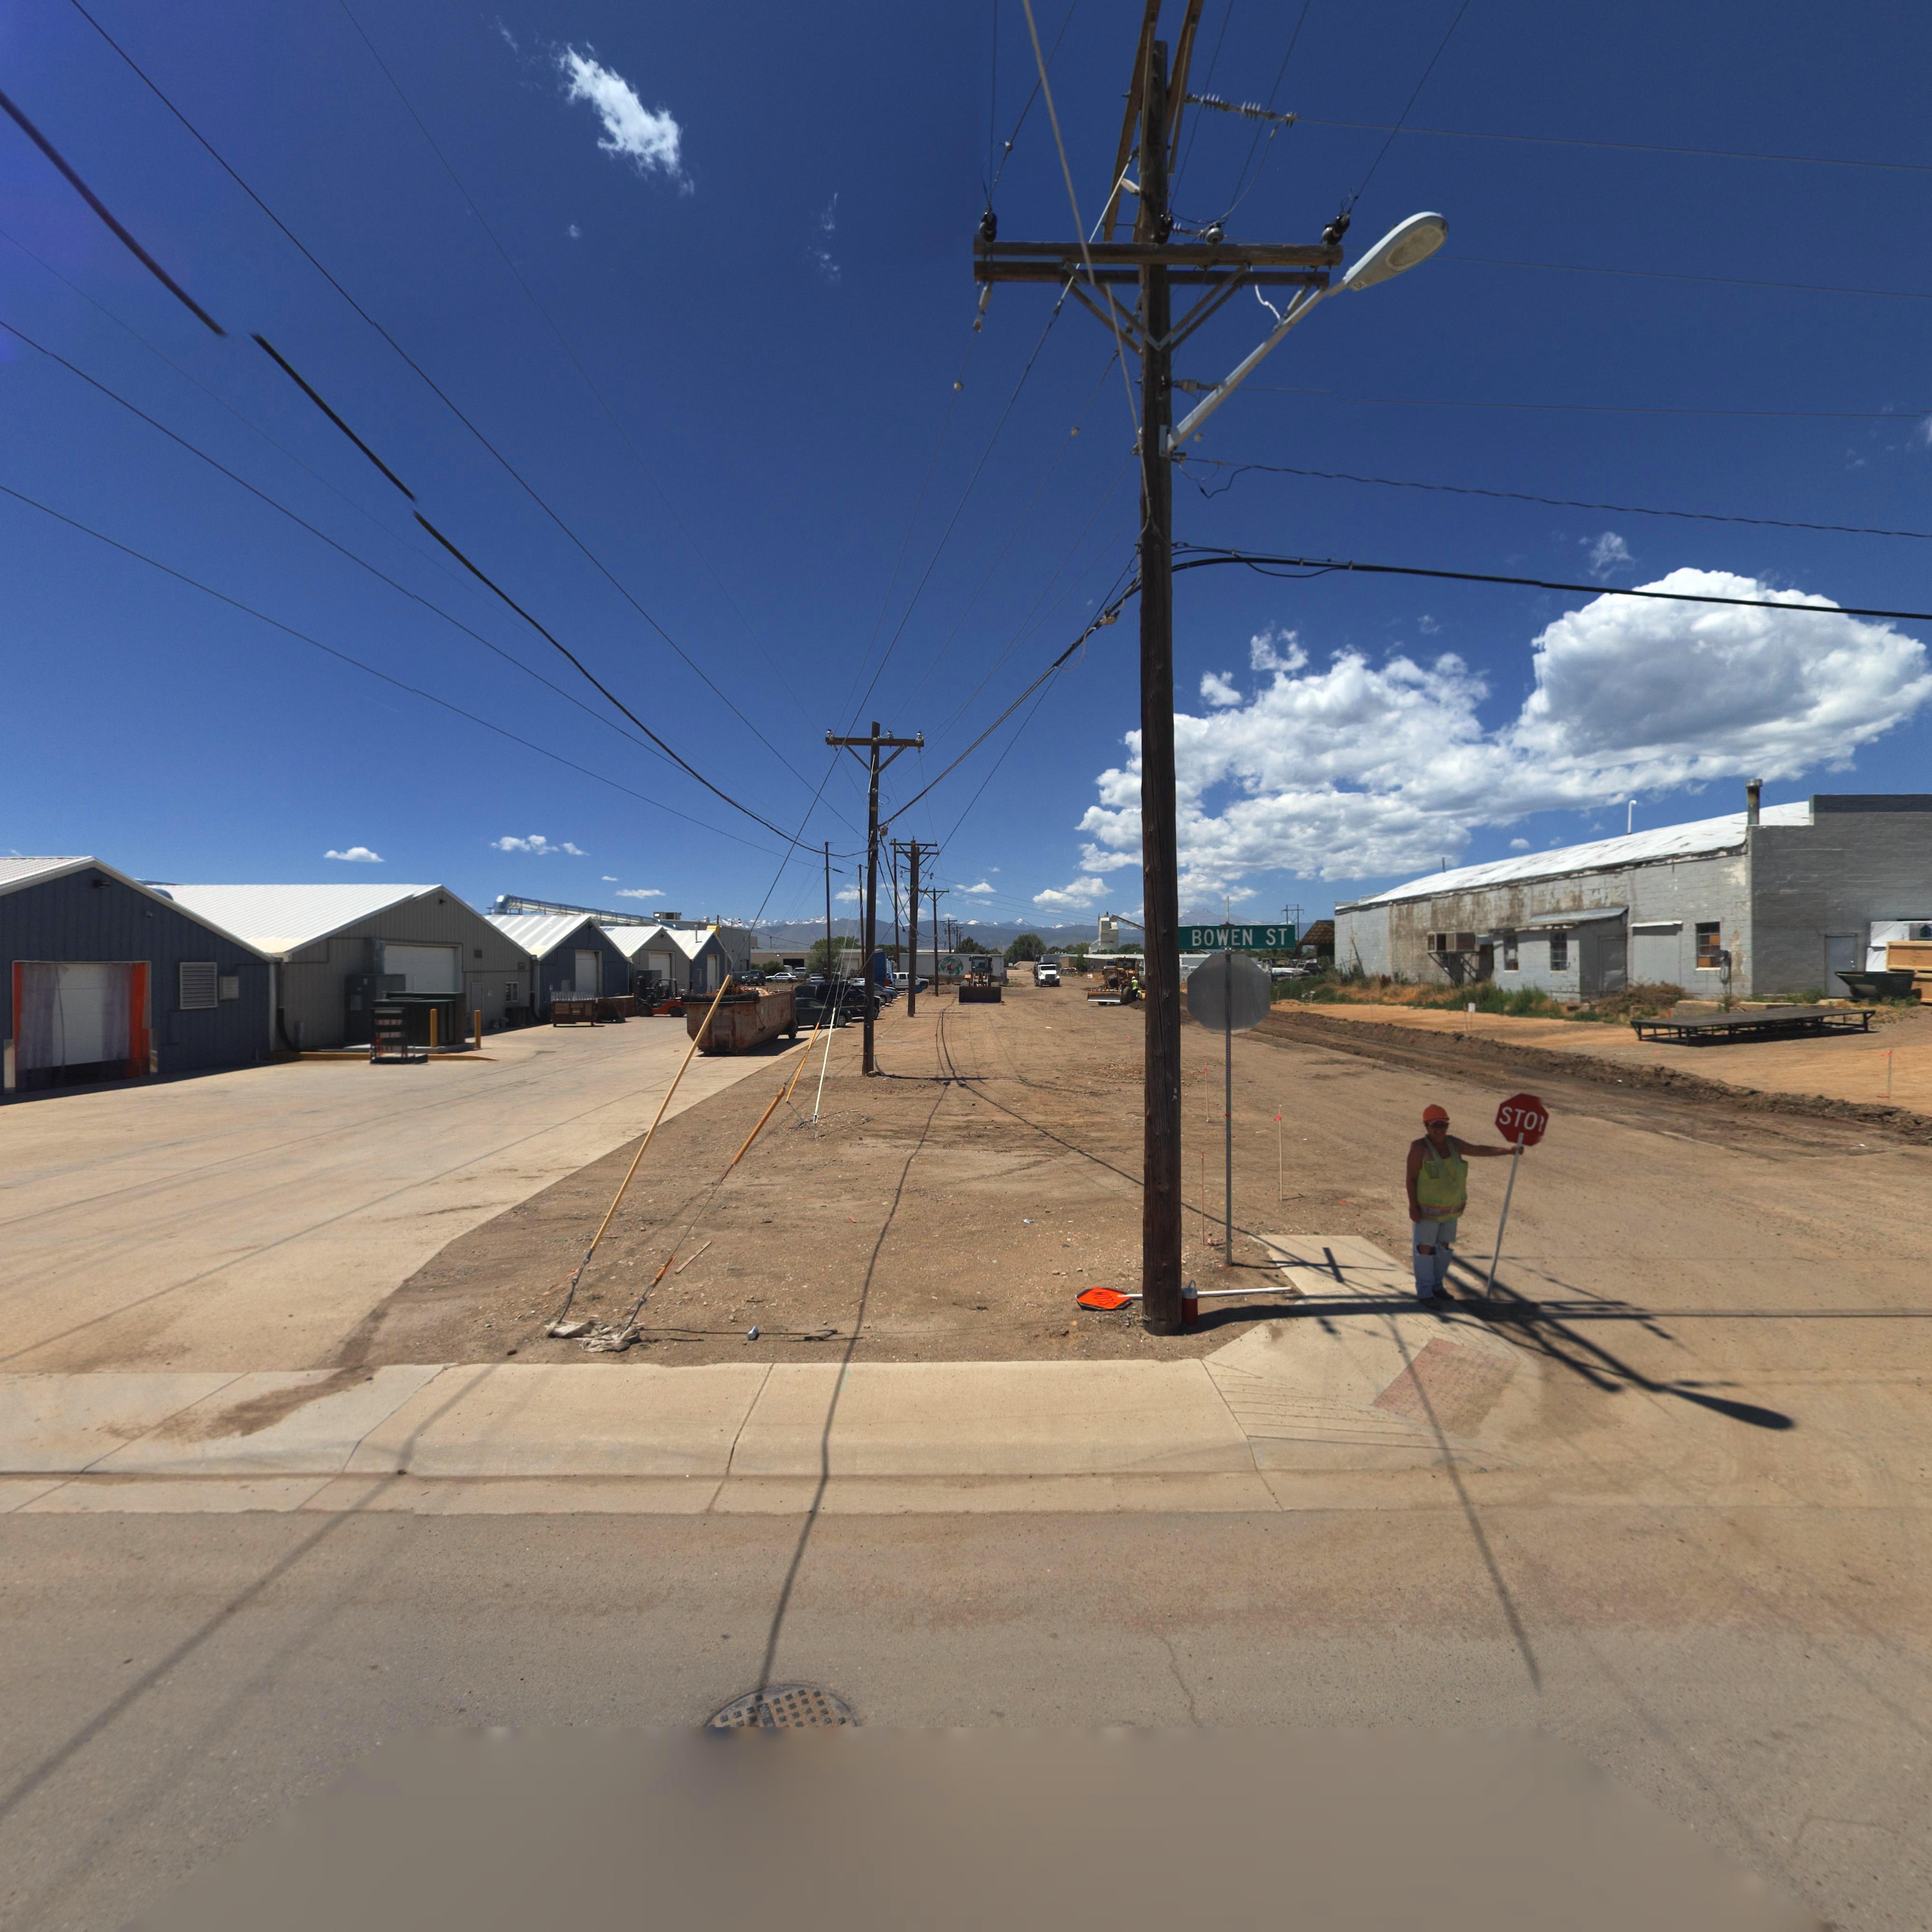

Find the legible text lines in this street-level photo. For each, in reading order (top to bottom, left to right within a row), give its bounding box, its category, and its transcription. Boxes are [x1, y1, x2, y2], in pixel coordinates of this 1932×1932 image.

[1190, 927, 1288, 947] StreetName: BOWEN ST